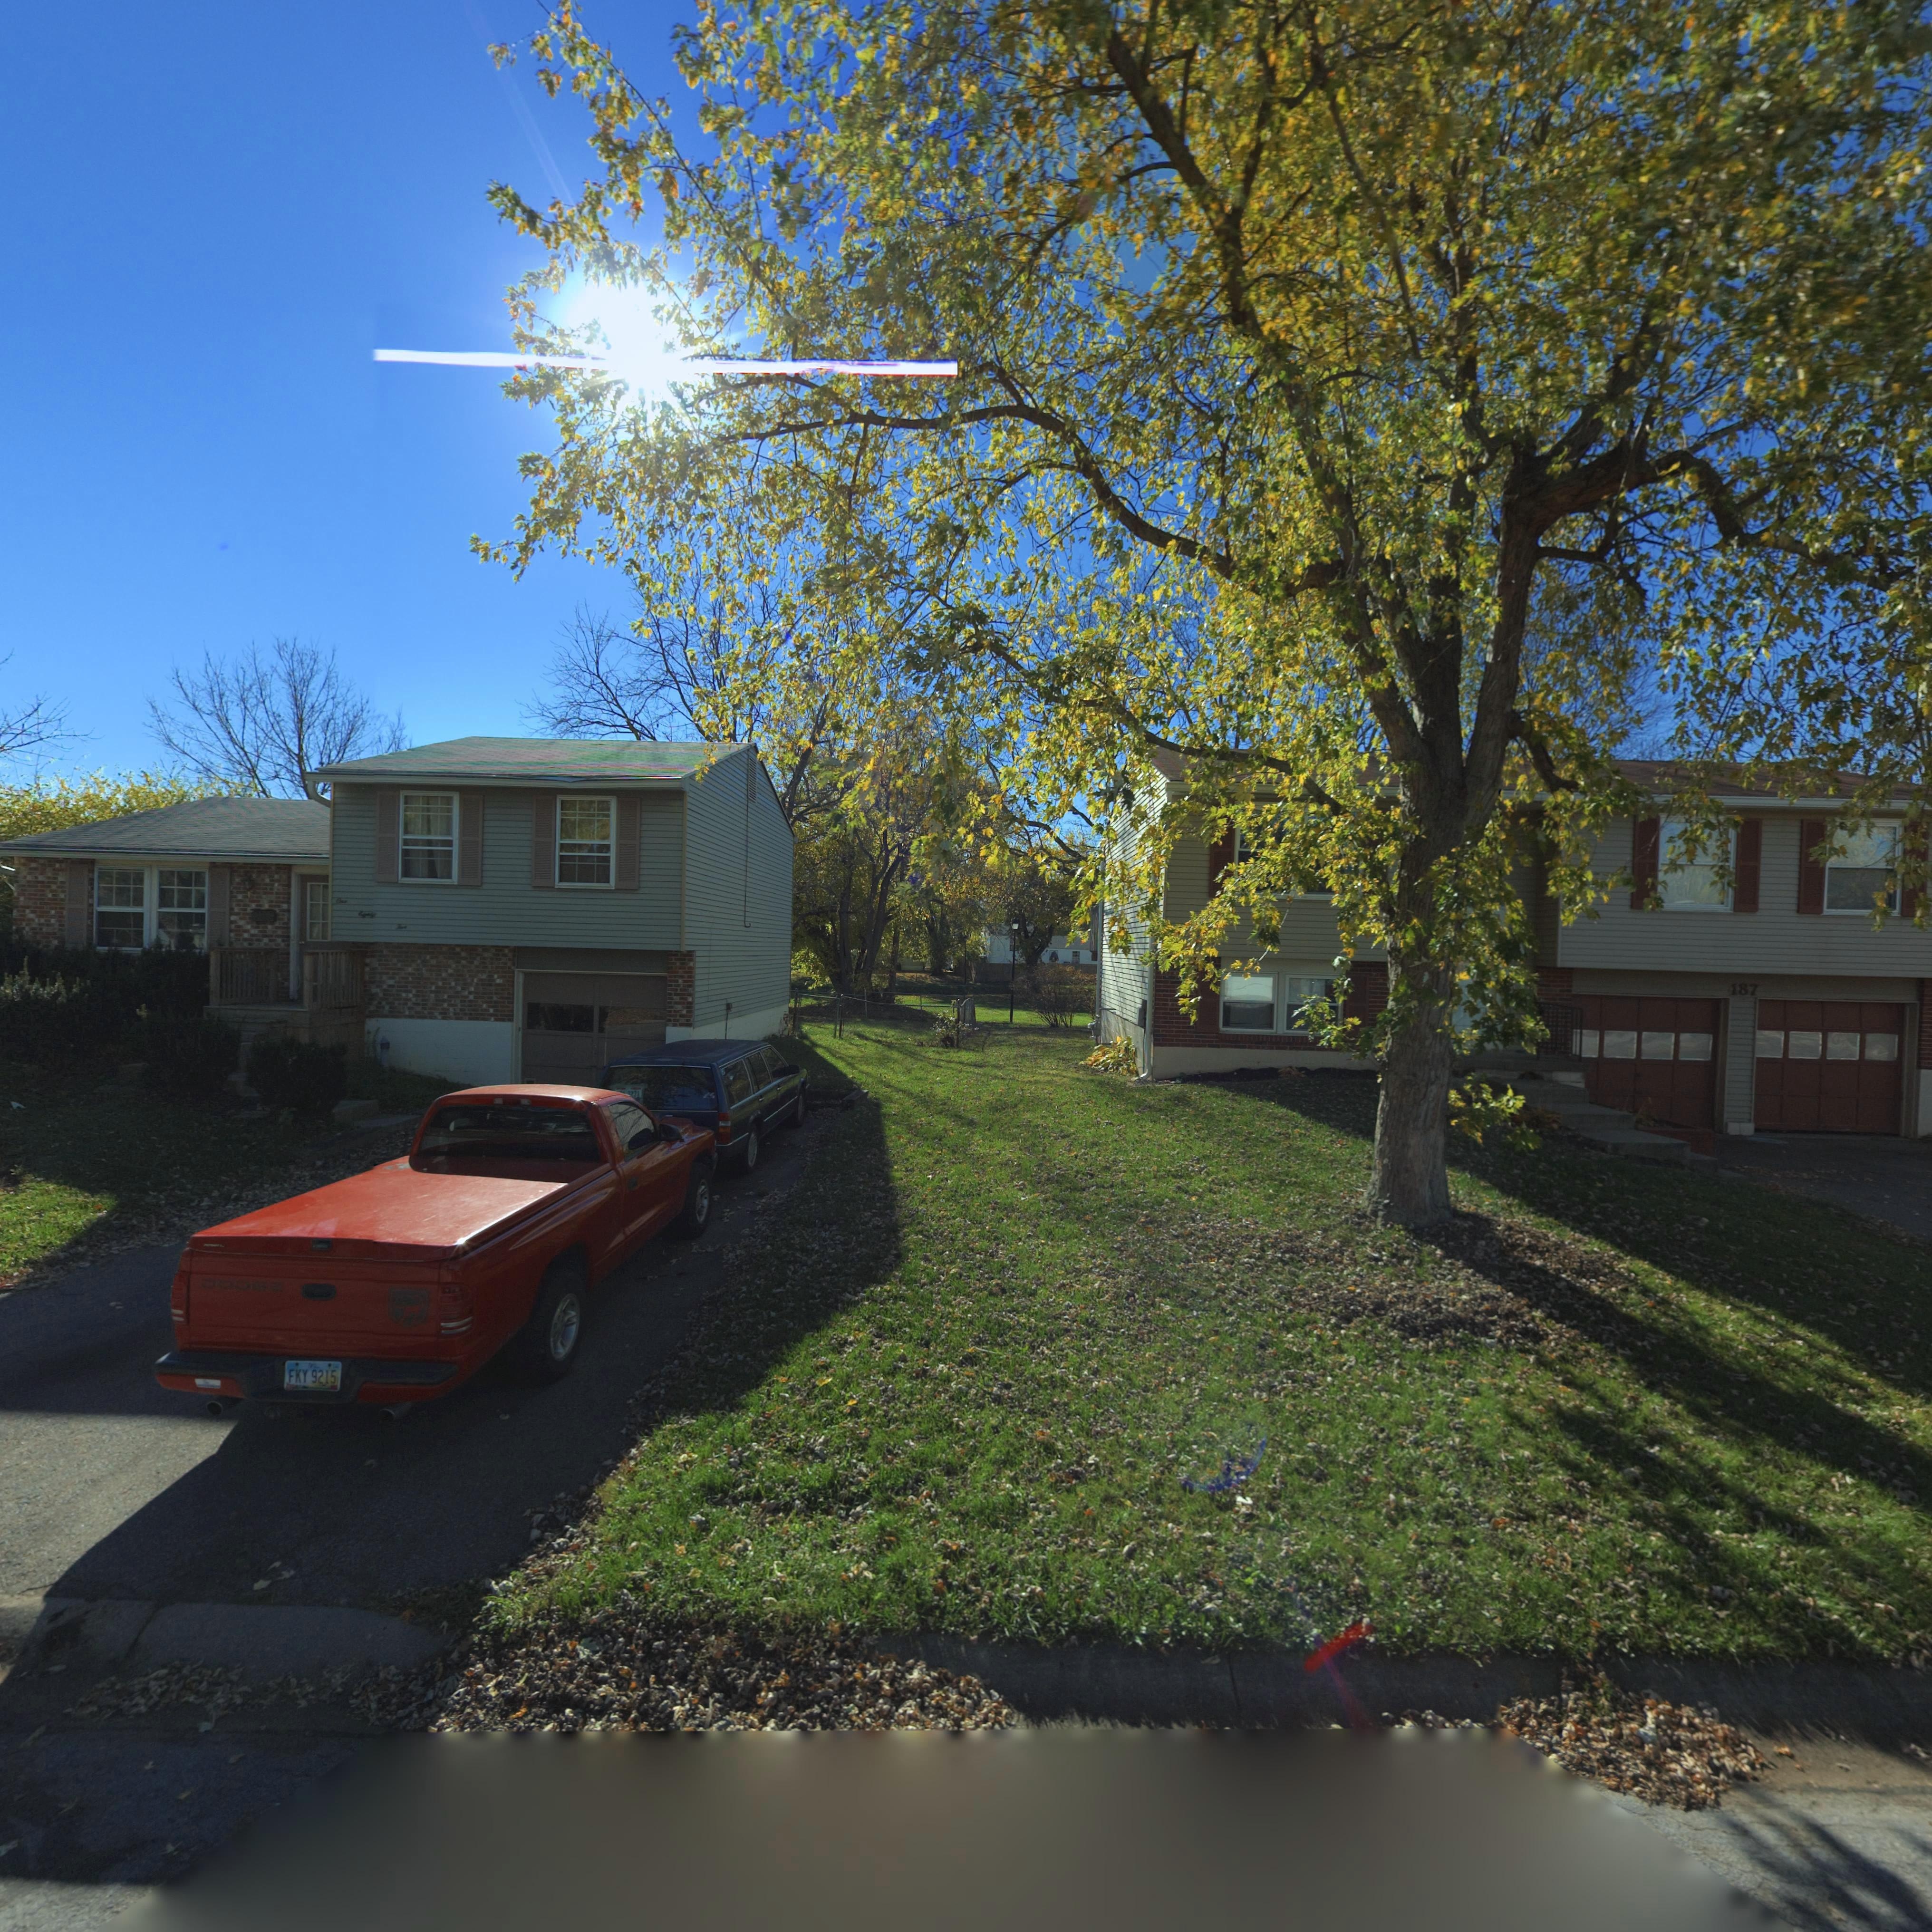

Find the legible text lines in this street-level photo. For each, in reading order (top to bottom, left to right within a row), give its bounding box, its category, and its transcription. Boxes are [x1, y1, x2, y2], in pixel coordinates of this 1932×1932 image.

[1729, 982, 1760, 997] StreetNumber: 187